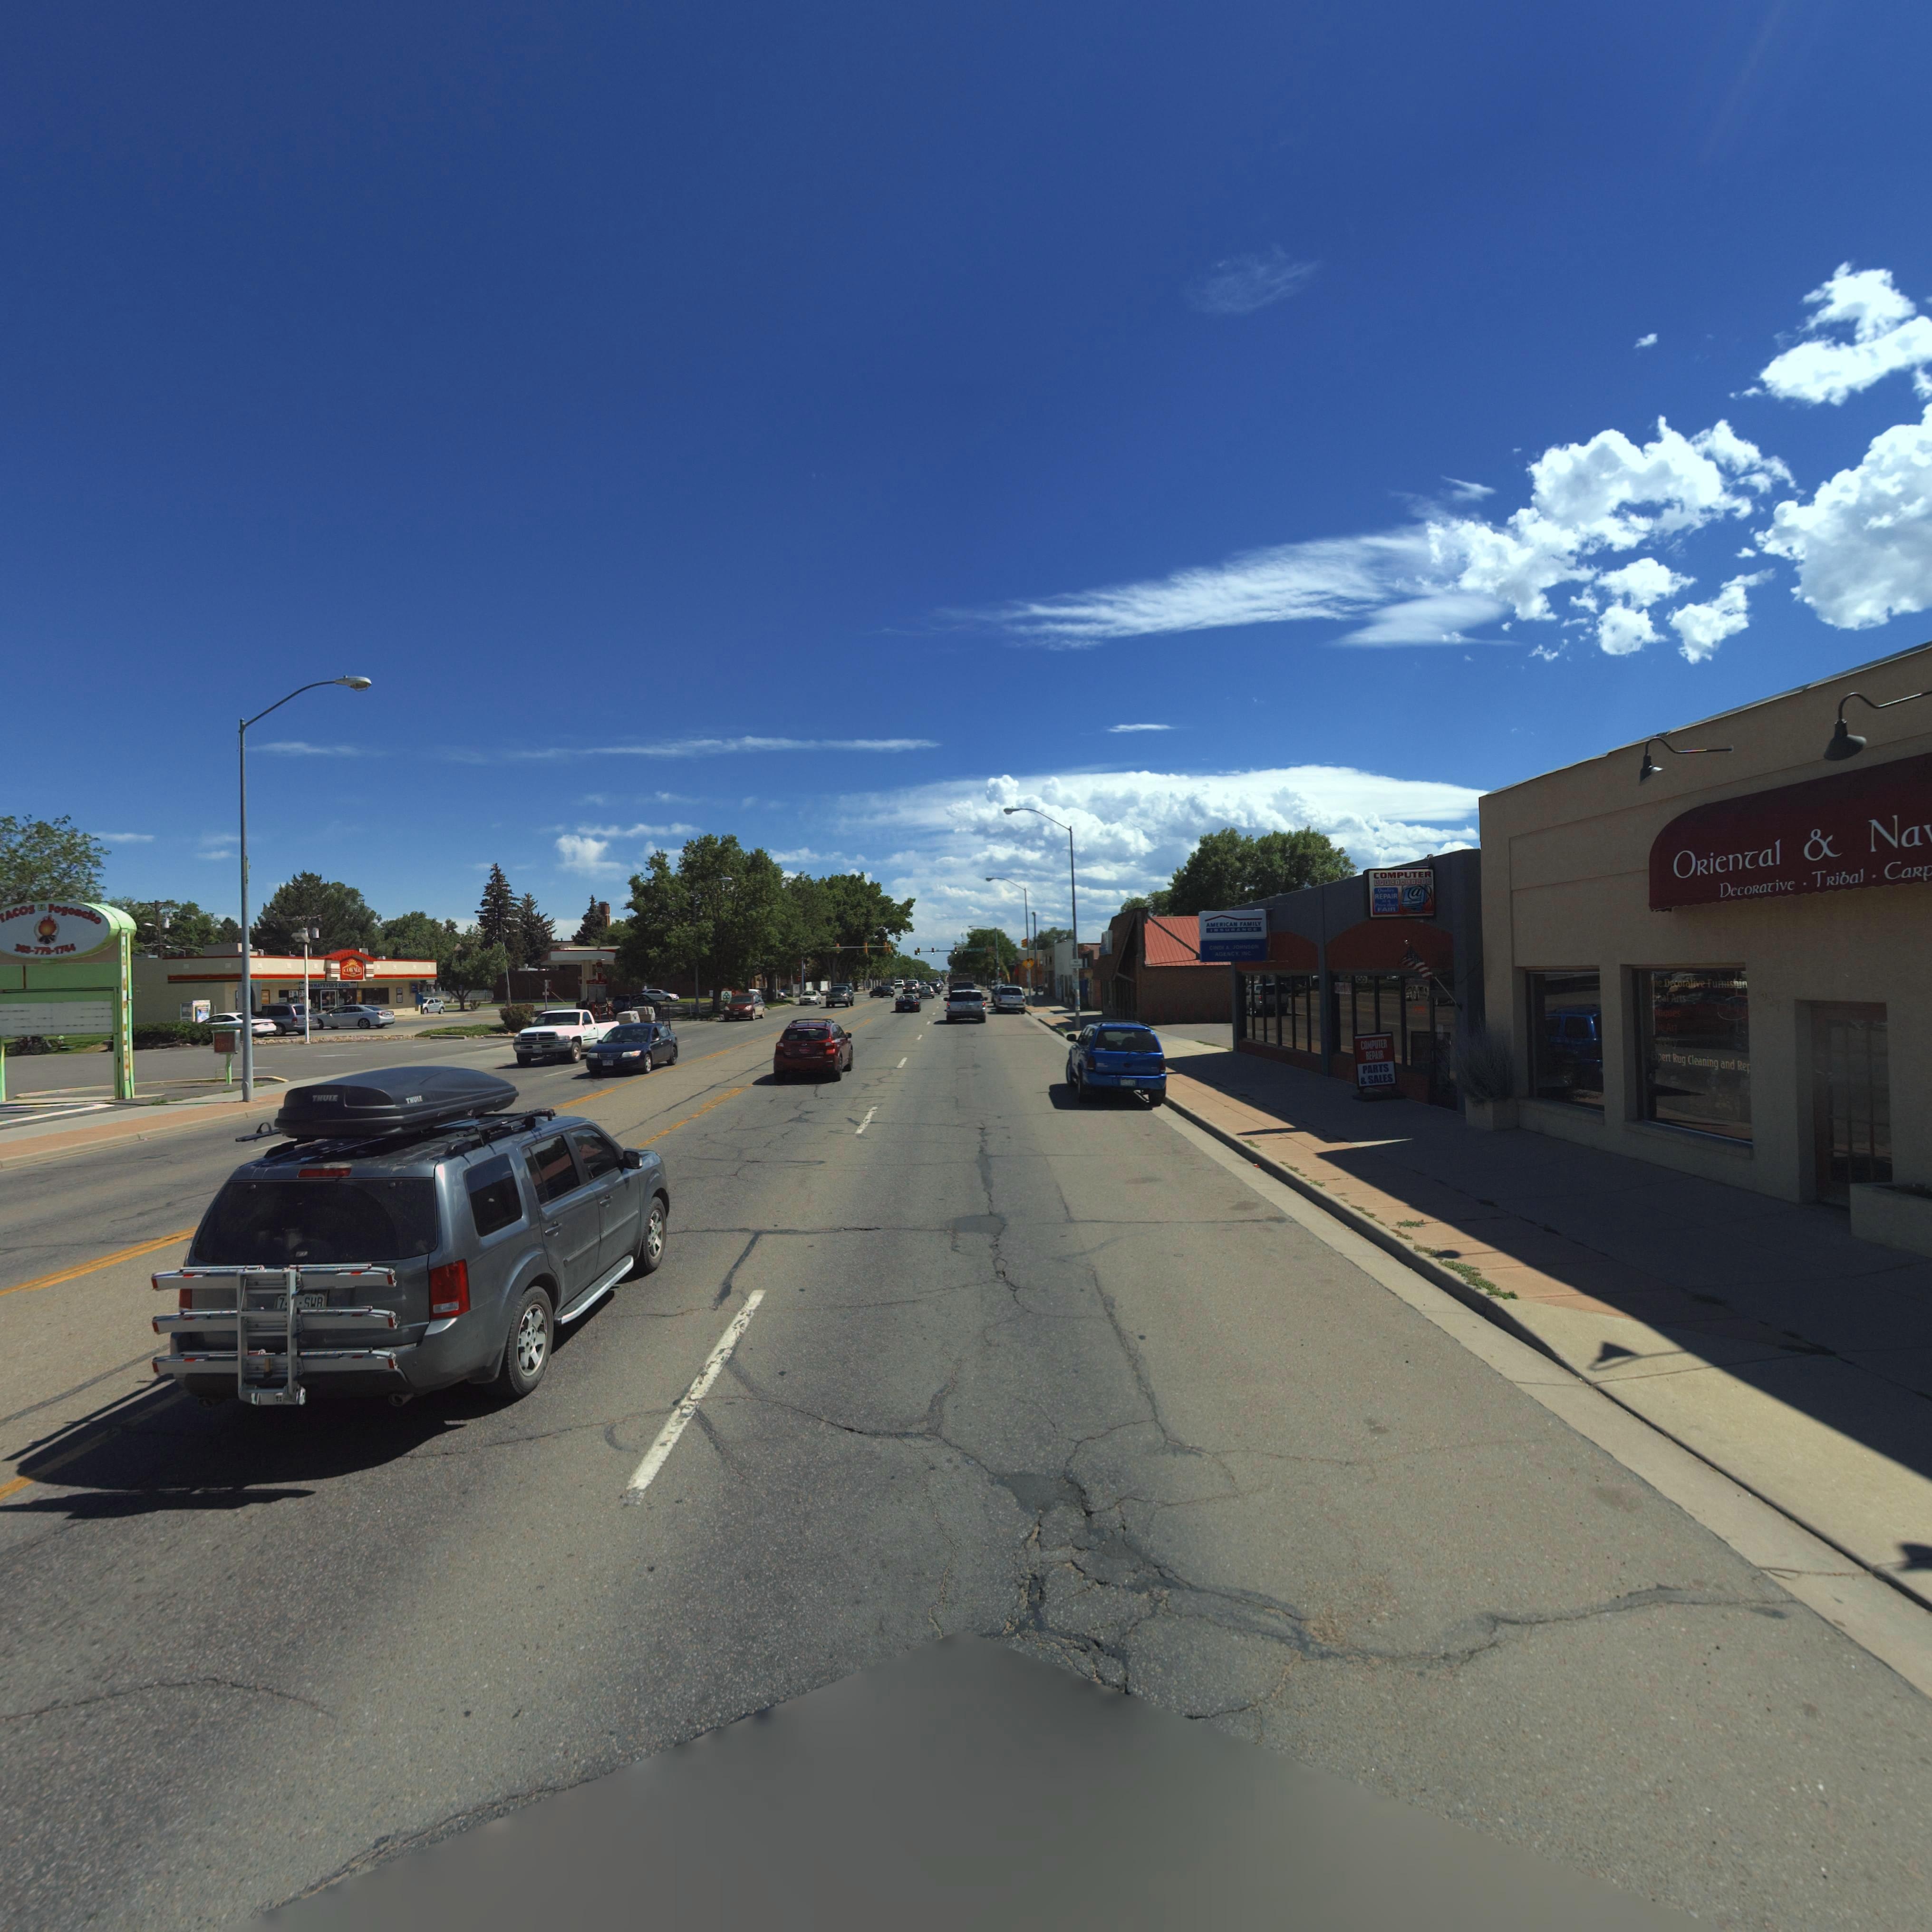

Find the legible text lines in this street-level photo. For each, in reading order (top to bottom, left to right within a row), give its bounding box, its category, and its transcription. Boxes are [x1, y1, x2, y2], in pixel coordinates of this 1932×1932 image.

[1672, 814, 1924, 879] BusinessName: ORienTal & Na
[1373, 871, 1432, 879] BusinessName: COMPUTER
[1374, 879, 1431, 886] BusinessName: ***CIALI*T*
[1, 902, 102, 925] BusinessName: *ACOS EL Pogo***o
[1206, 921, 1261, 927] BusinessName: AMERICAN FAMILY
[1210, 927, 1257, 932] BusinessName: INSURANCE
[1209, 944, 1259, 950] BusinessName: CIN*I A JOHNSON
[1214, 951, 1253, 956] BusinessName: AGENCY, INC.
[344, 965, 361, 973] BusinessName: CORNER
[1760, 992, 1781, 1011] StreetNumber: 927